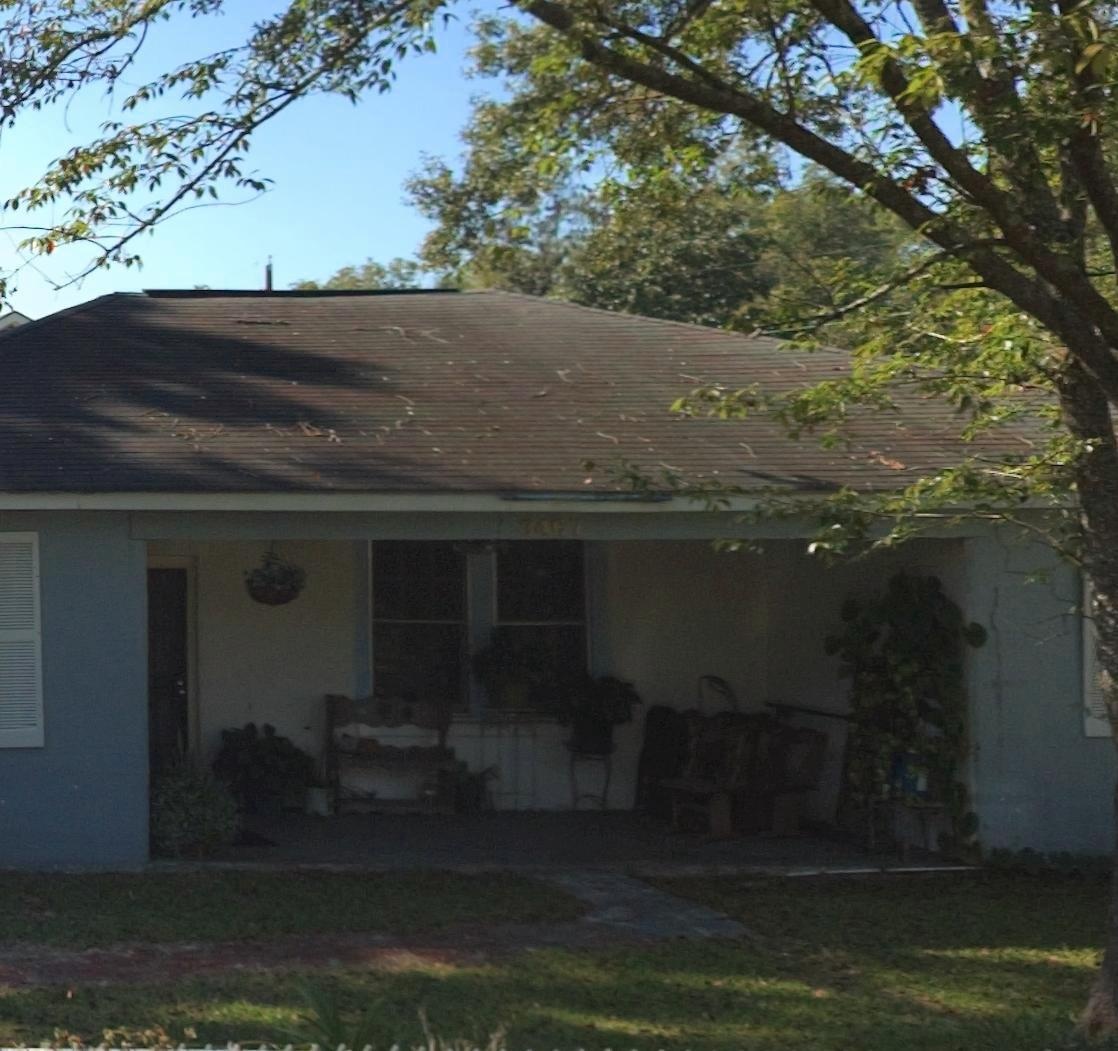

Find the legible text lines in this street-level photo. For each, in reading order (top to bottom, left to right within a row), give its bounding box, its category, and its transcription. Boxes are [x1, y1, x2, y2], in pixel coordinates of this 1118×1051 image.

[517, 515, 585, 539] StreetNumber: 3467